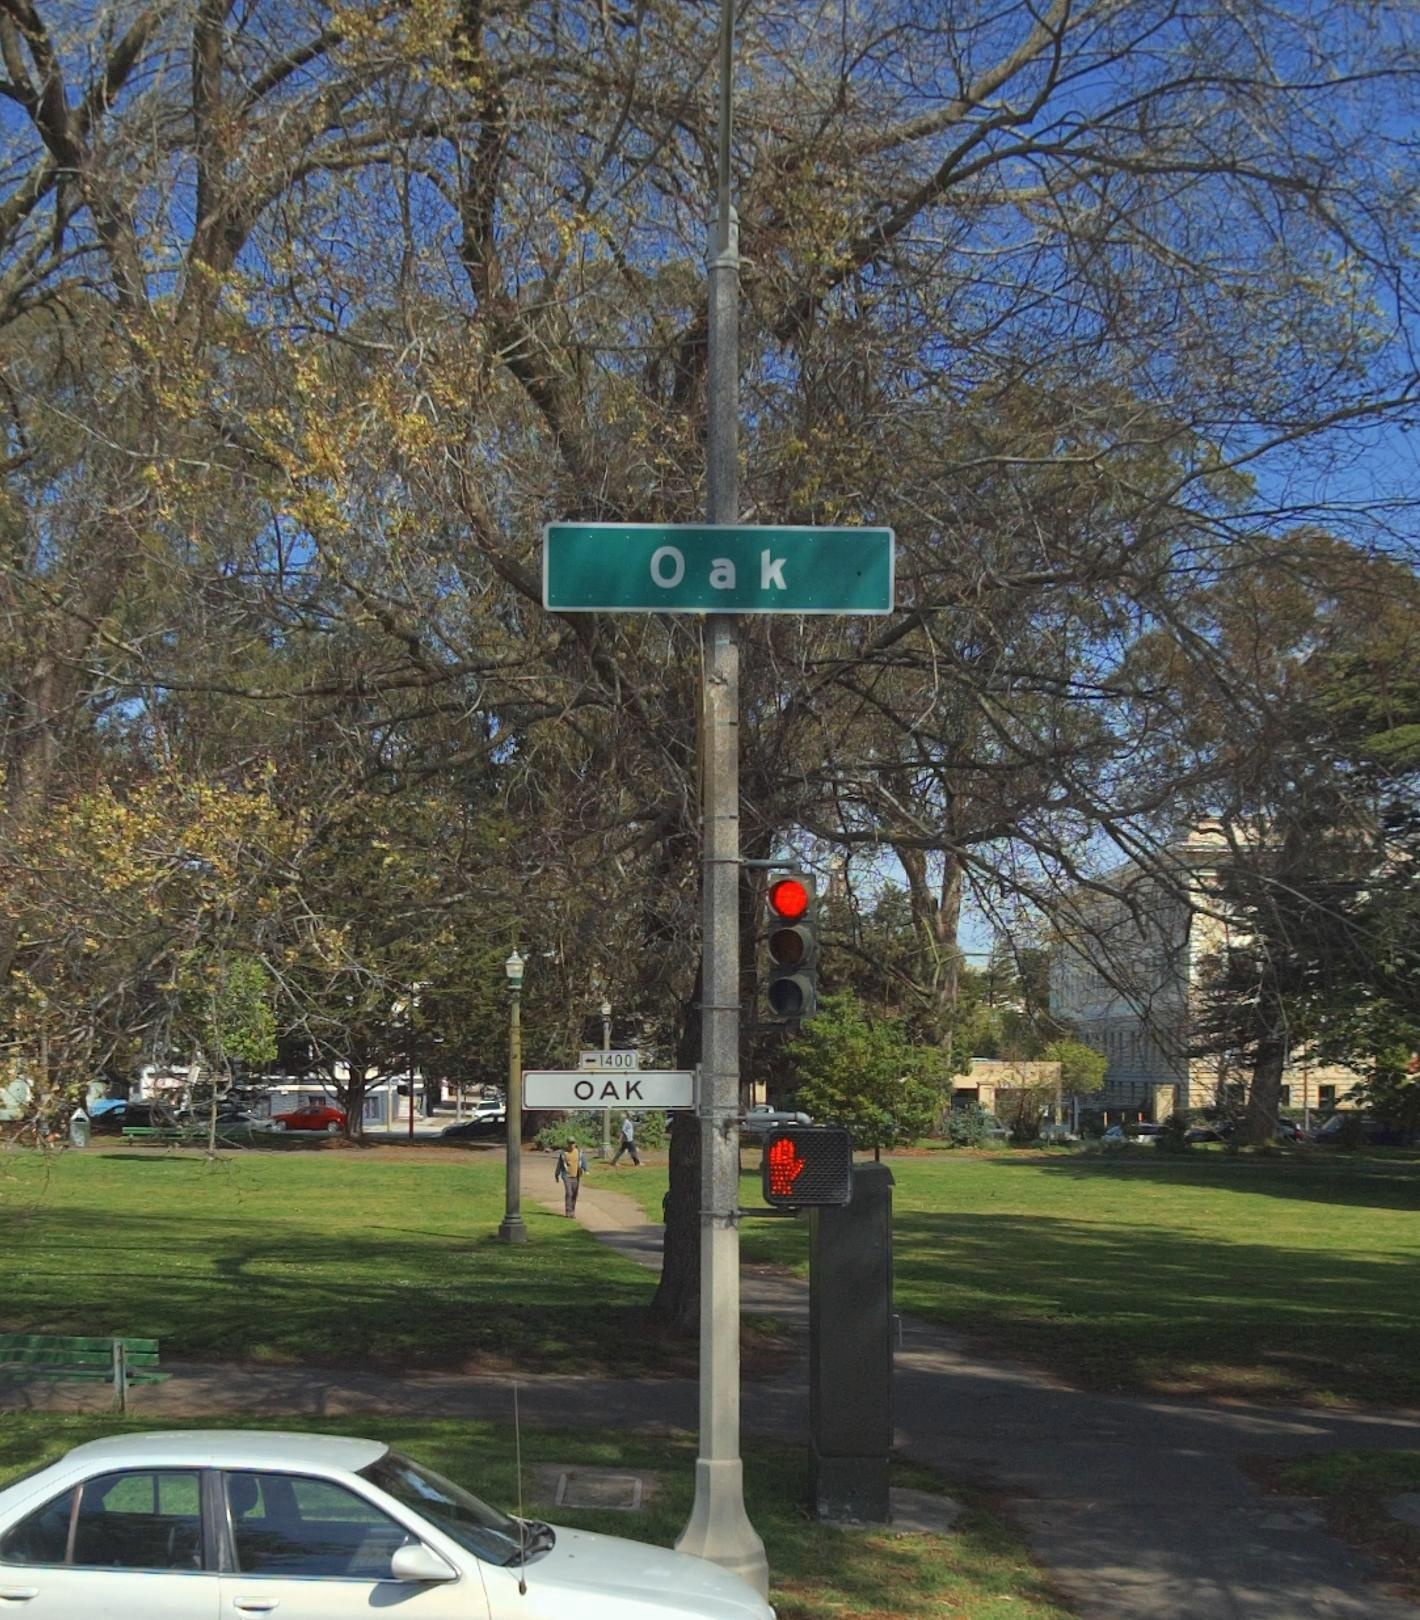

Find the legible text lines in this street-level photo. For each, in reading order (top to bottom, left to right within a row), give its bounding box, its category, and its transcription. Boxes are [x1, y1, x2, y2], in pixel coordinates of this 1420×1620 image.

[651, 542, 789, 591] StreetName: Oak
[580, 1052, 636, 1069] StreetNumberRange: <-1400
[574, 1080, 643, 1101] StreetName: OAK